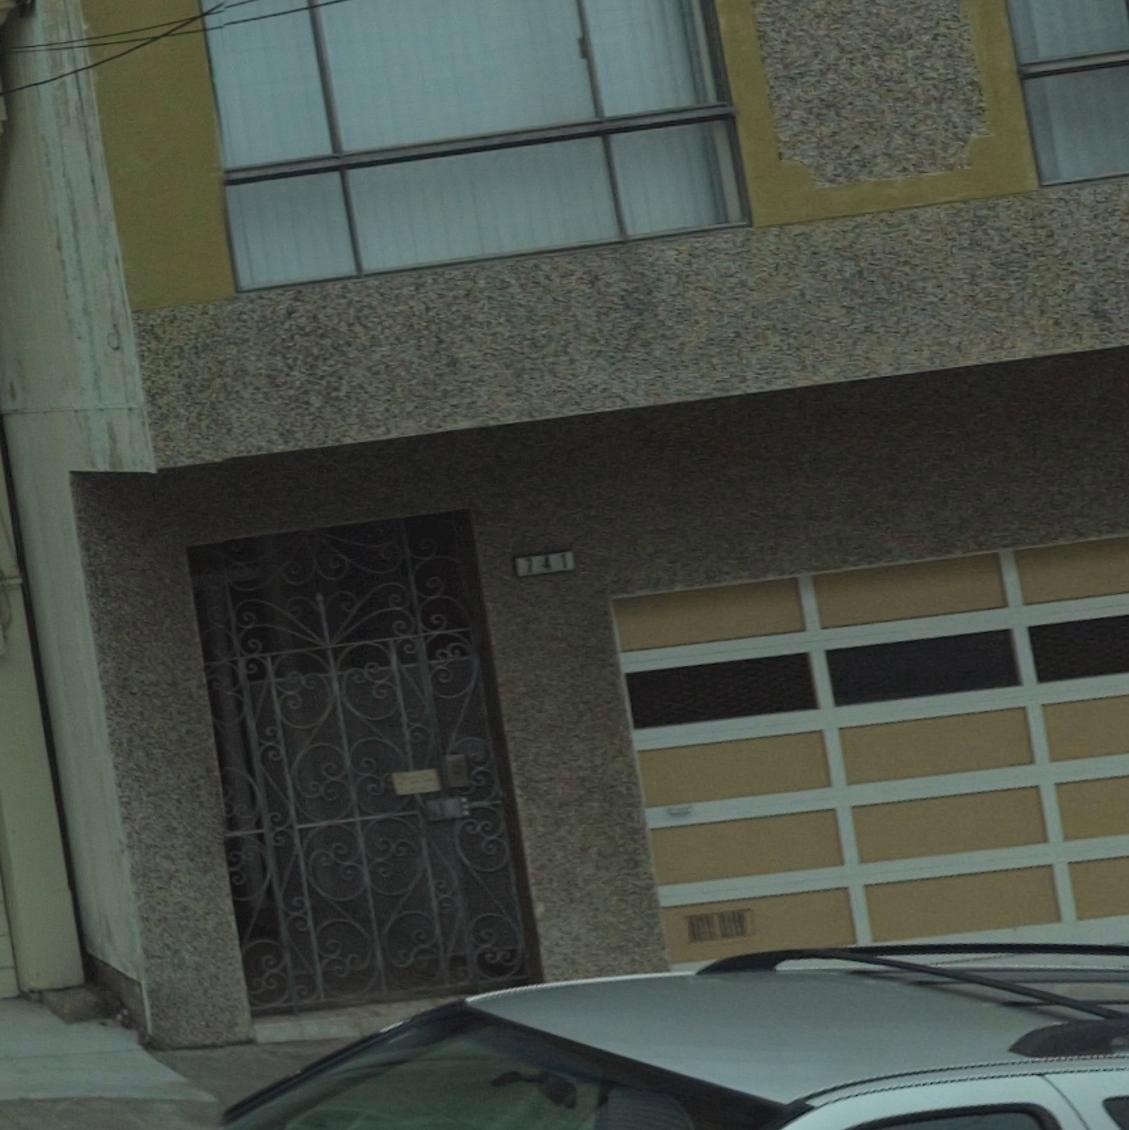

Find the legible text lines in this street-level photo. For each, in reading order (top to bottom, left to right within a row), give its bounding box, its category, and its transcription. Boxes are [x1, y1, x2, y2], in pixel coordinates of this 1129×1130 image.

[522, 551, 573, 576] StreetNumber: 741